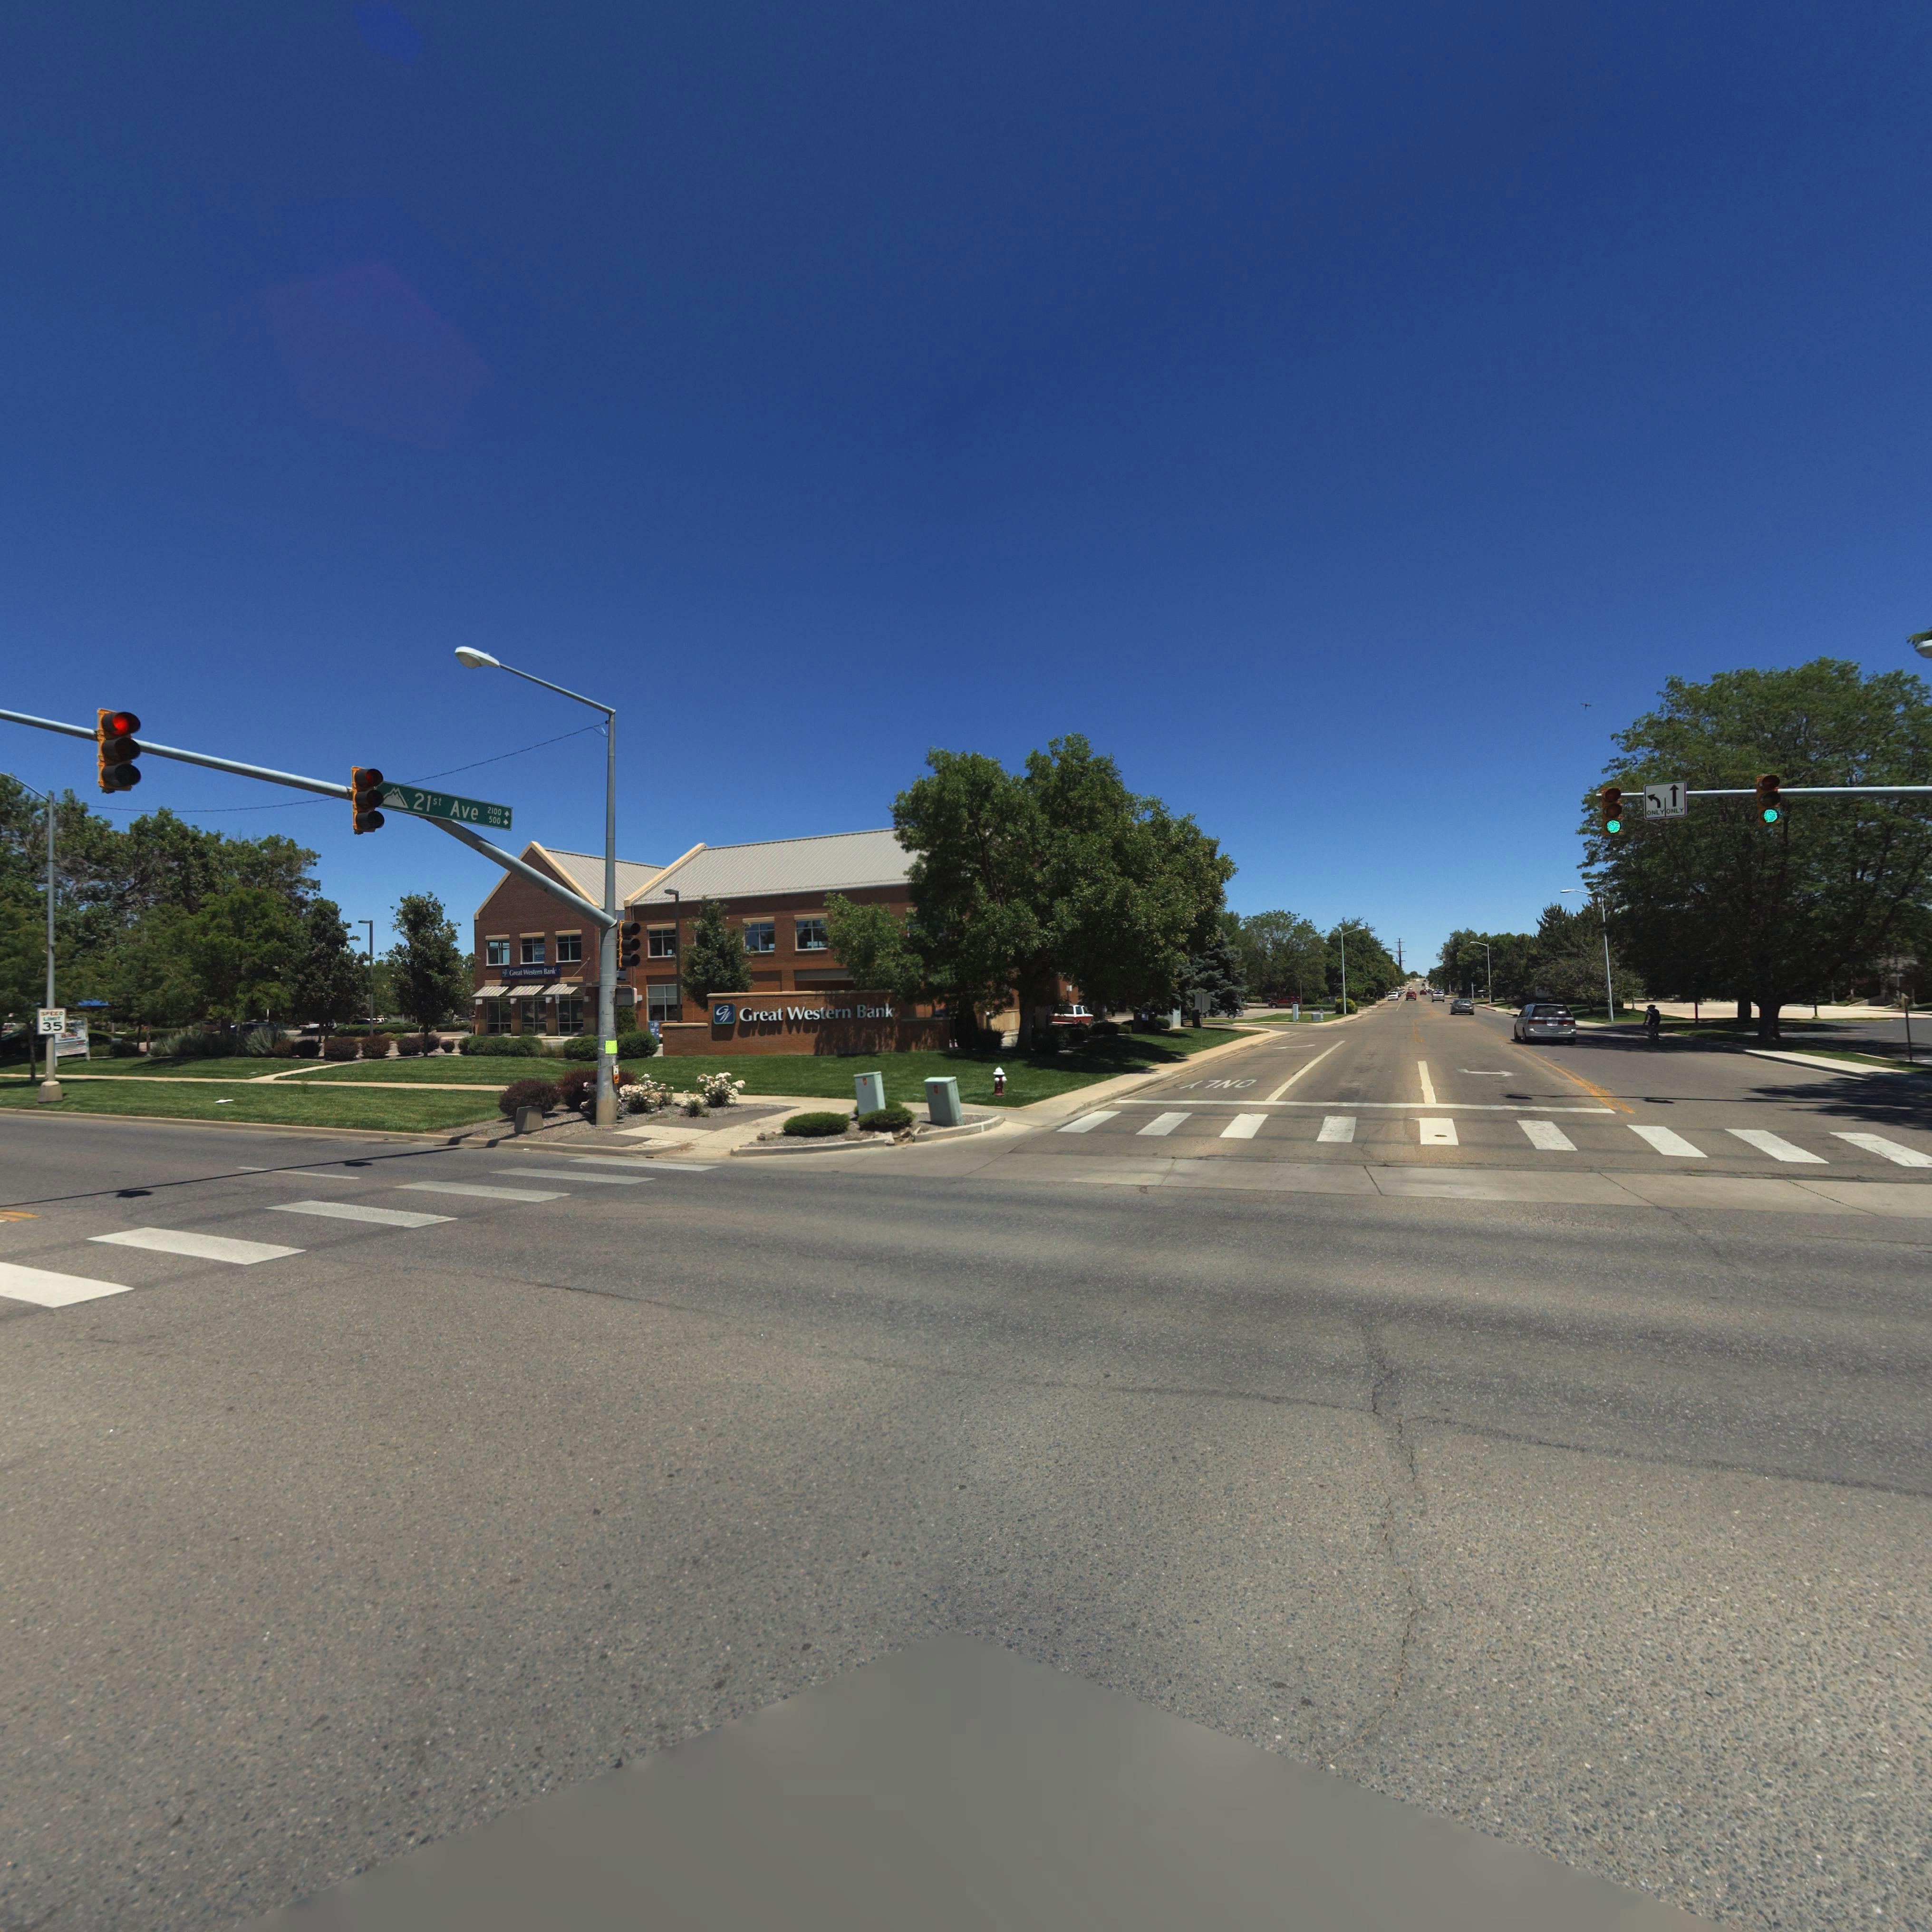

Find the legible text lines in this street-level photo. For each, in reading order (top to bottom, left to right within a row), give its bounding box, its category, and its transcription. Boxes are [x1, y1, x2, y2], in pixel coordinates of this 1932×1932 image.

[412, 792, 478, 821] StreetName: 21st Ave
[487, 806, 502, 816] StreetNumberRange: 2100
[489, 815, 509, 825] StreetNumberRange: 500
[509, 967, 555, 976] BusinessName: Great Western Bank
[738, 1002, 894, 1022] BusinessName: Great Western Bank